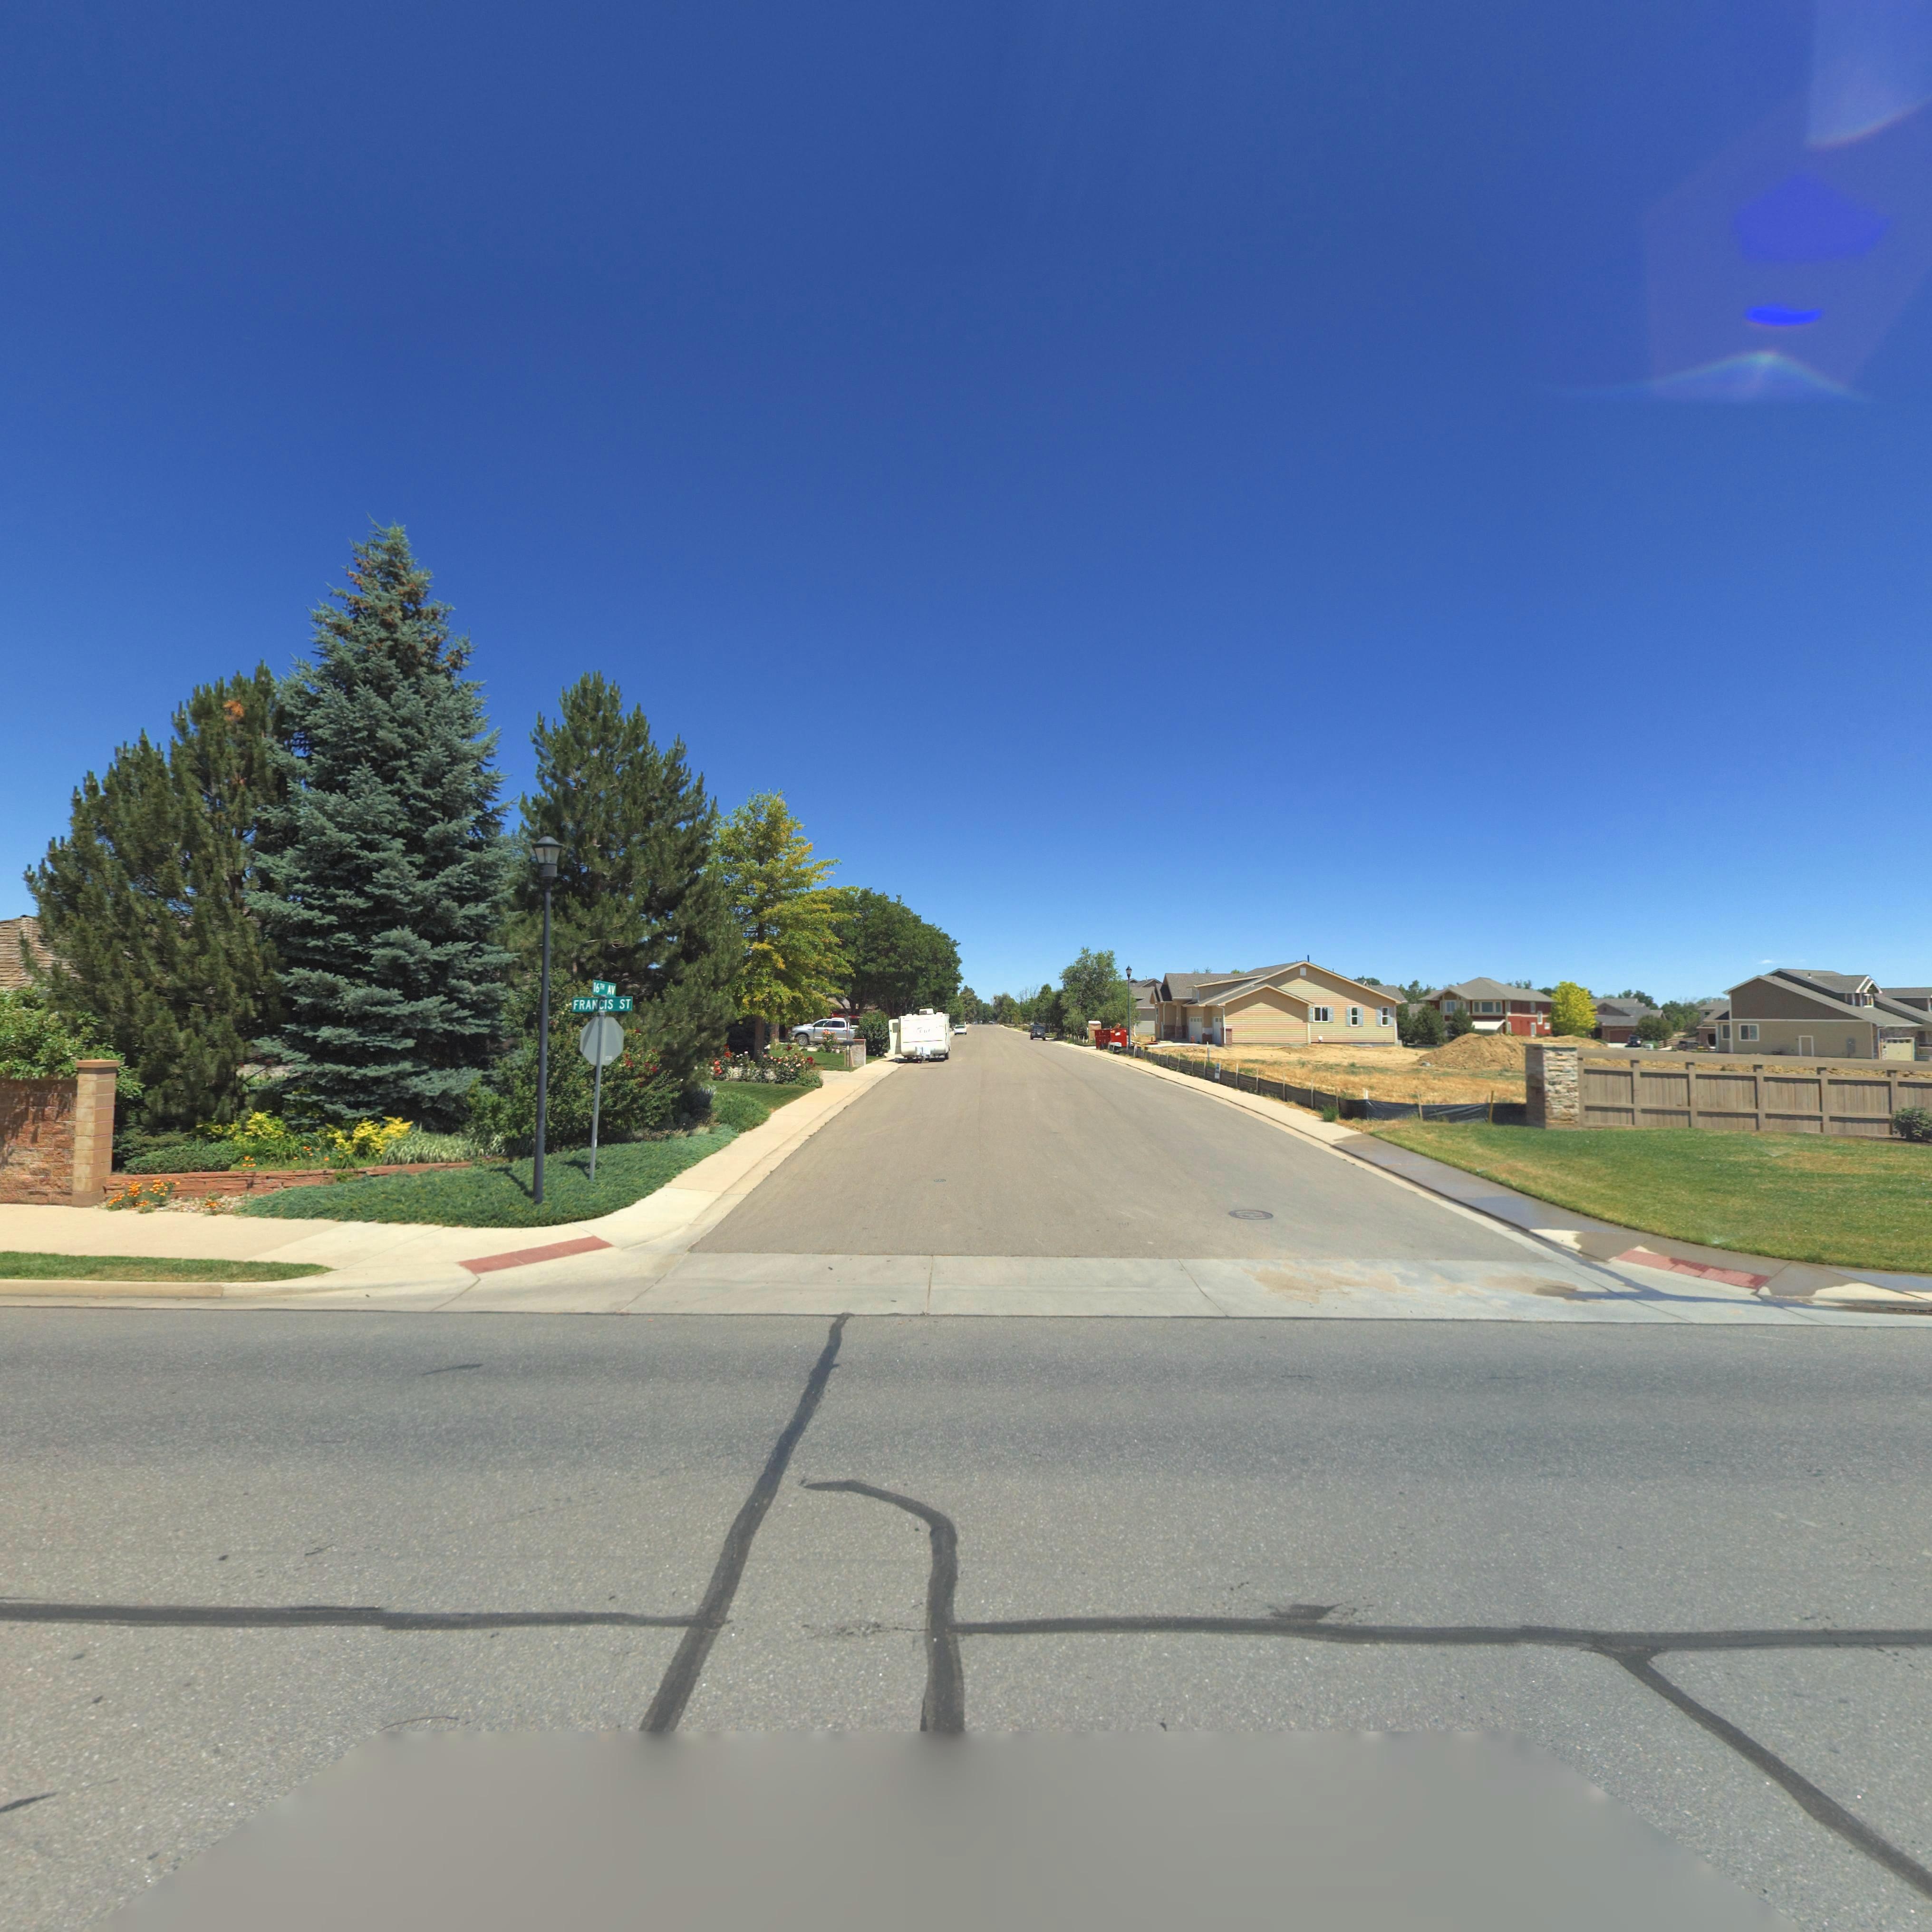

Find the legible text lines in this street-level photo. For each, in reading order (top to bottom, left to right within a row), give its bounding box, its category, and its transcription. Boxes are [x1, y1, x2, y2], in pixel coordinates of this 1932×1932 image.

[593, 980, 616, 996] StreetName: 16th AV
[573, 999, 630, 1009] StreetName: FRANCIS ST